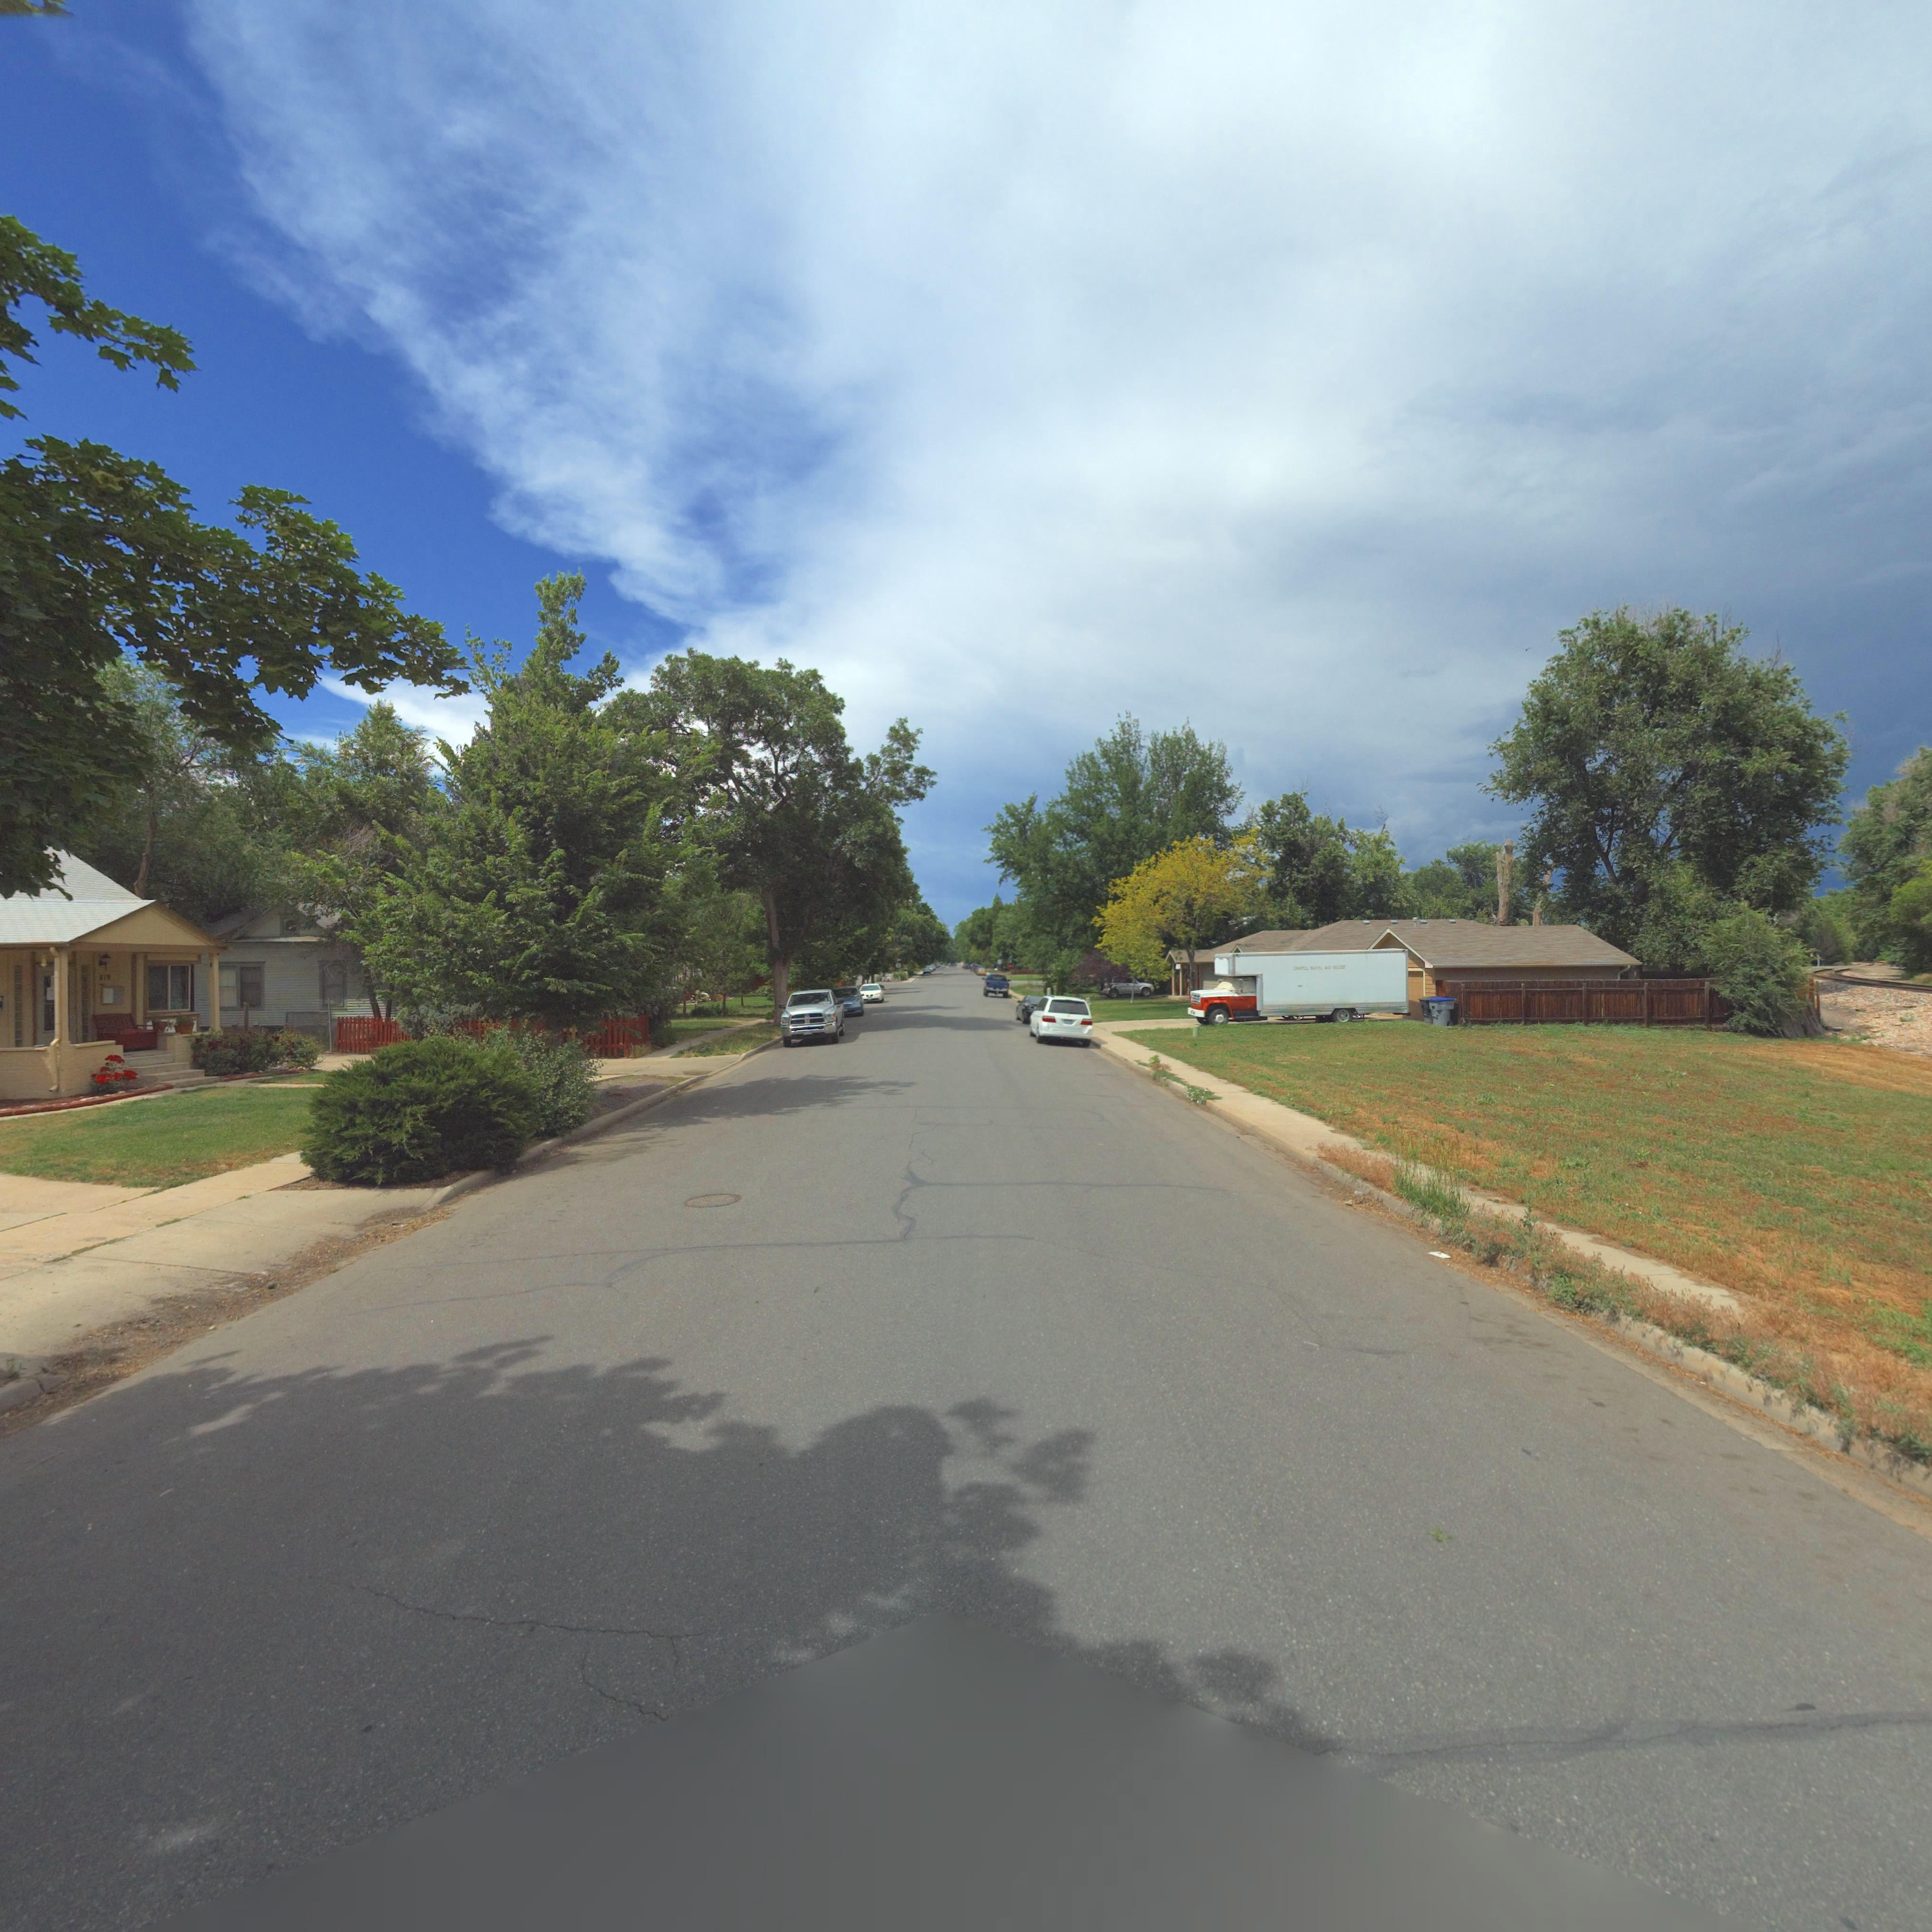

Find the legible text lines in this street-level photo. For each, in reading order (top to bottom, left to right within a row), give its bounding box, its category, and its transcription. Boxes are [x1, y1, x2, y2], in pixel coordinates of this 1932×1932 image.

[99, 974, 110, 981] StreetNumber: 819